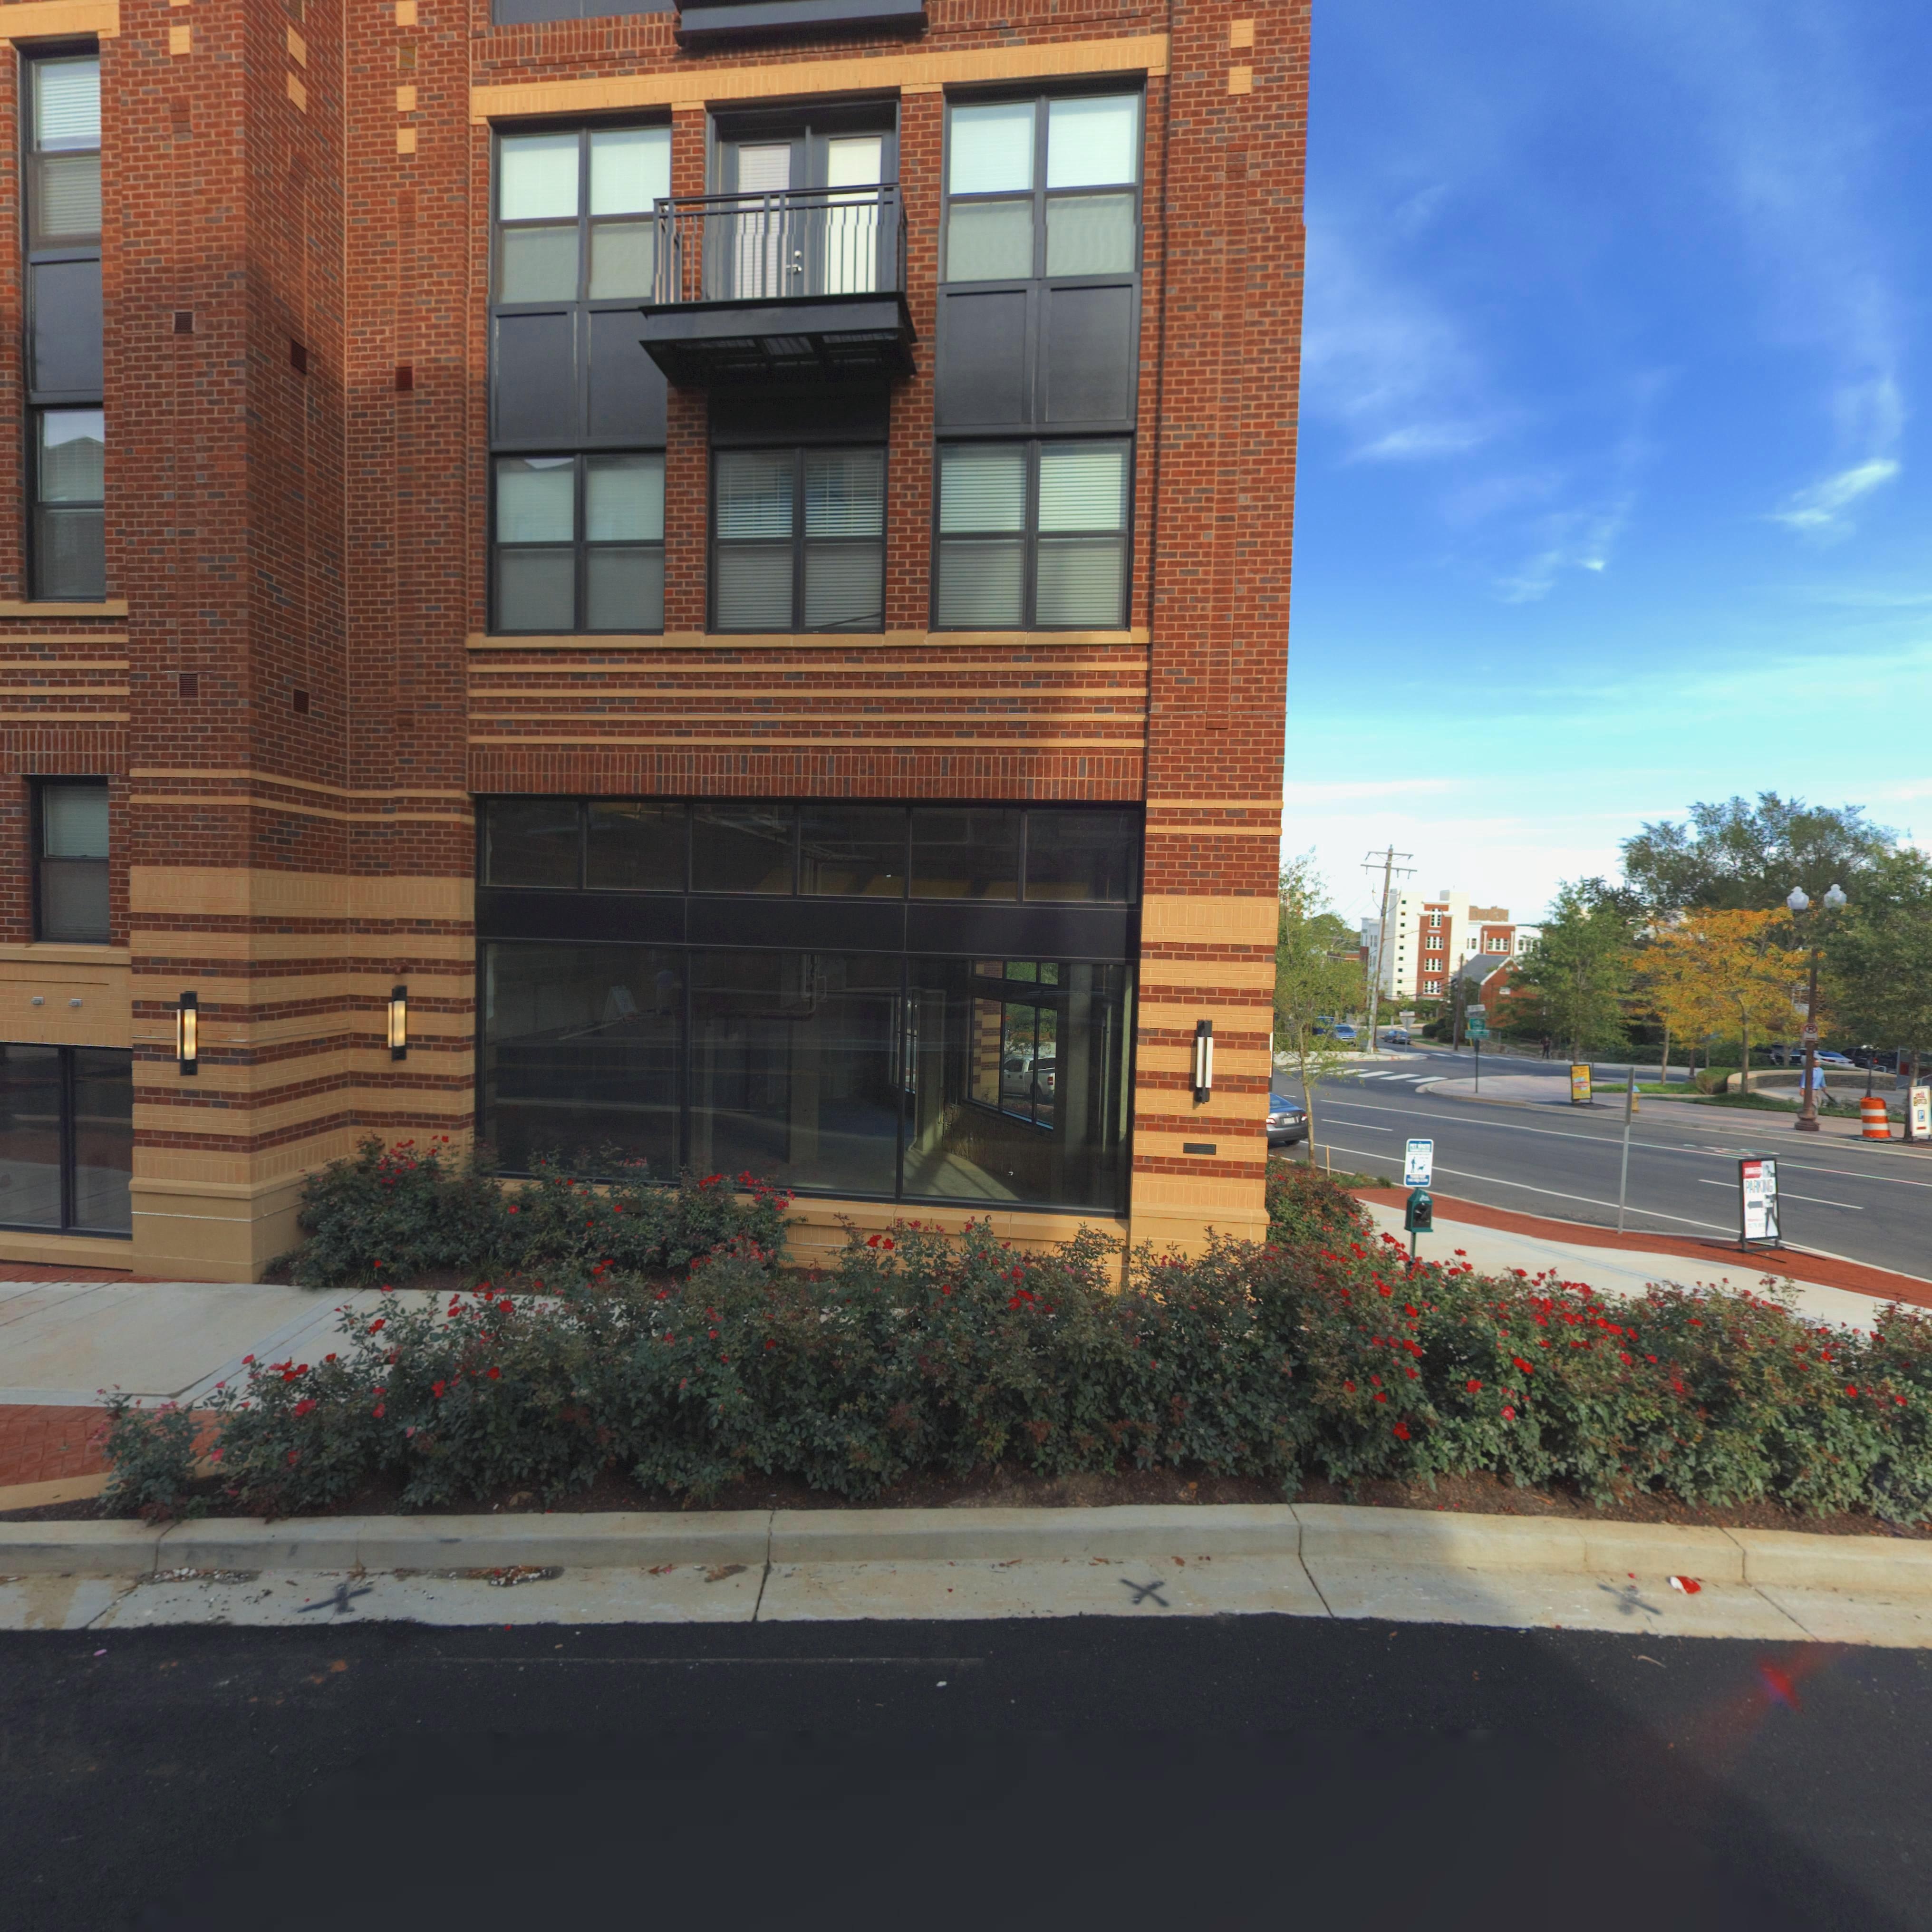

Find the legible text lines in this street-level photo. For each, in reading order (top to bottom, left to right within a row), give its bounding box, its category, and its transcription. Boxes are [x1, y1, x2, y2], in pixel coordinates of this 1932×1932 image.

[1745, 1178, 1775, 1195] None: PARKING